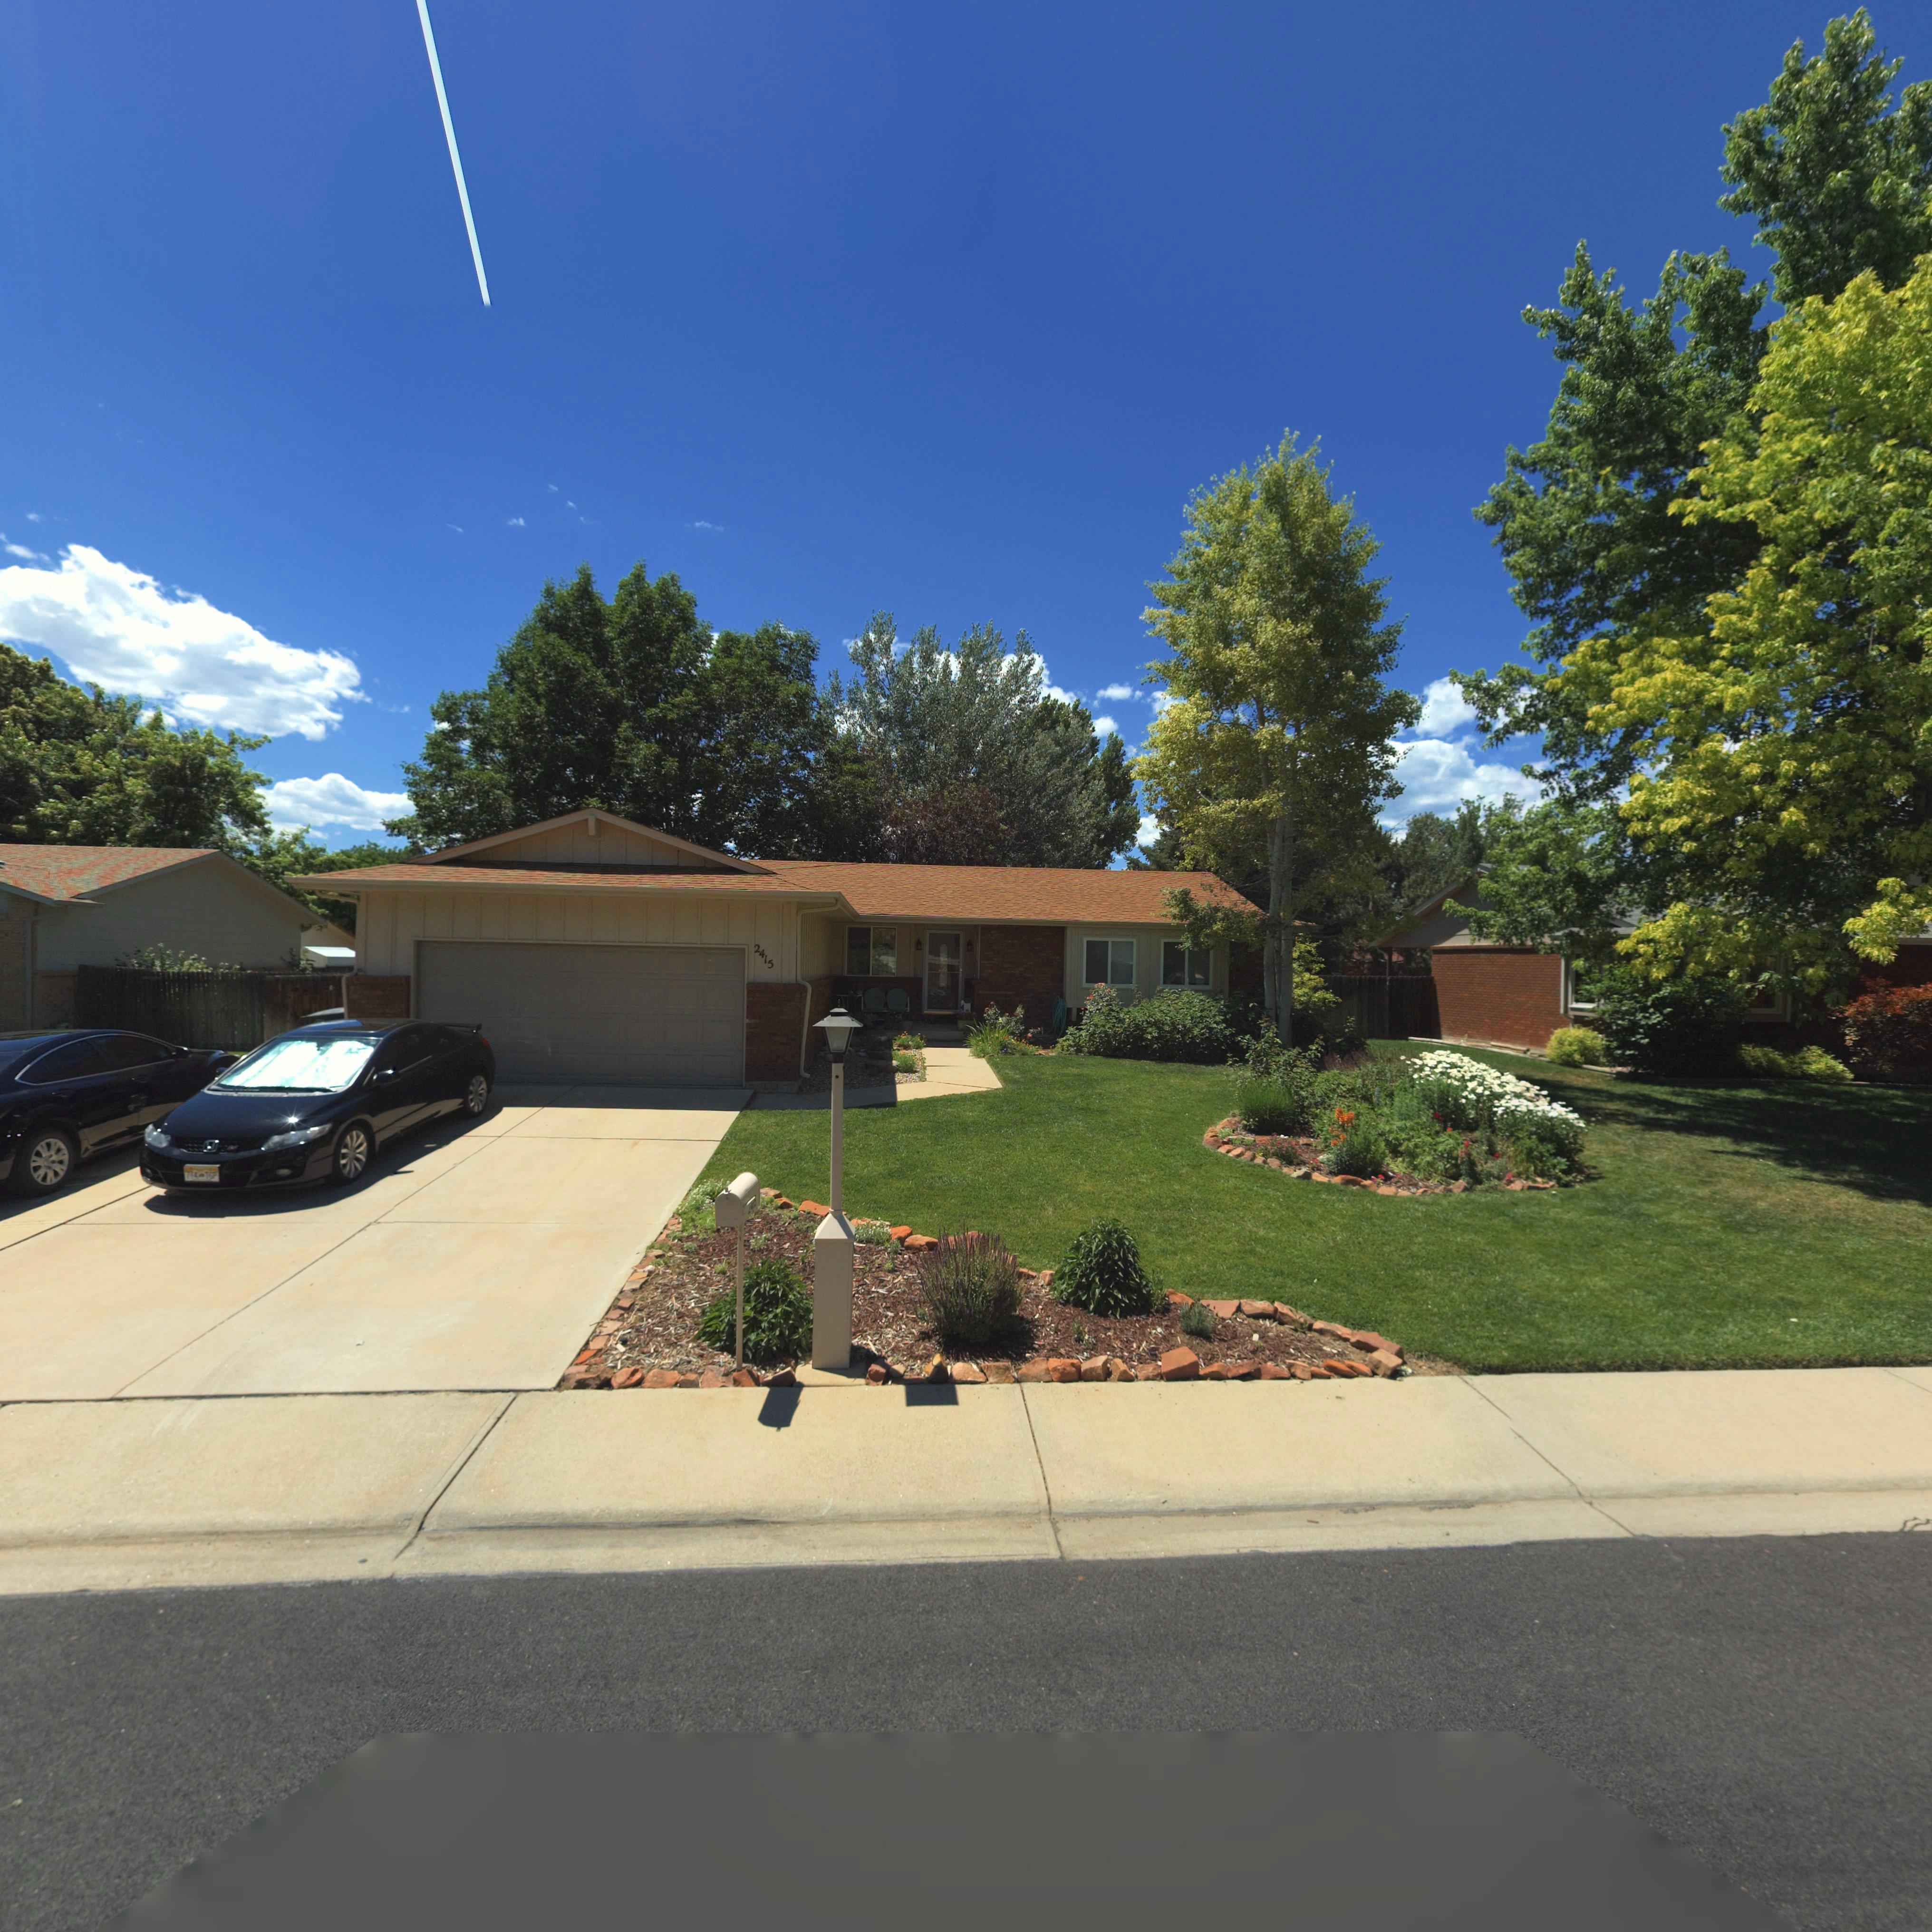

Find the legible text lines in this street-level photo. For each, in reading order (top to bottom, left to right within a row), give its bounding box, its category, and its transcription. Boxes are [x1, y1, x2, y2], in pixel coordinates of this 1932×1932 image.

[753, 943, 774, 969] StreetNumber: 2415
[748, 1197, 756, 1215] StreetNumber: **15